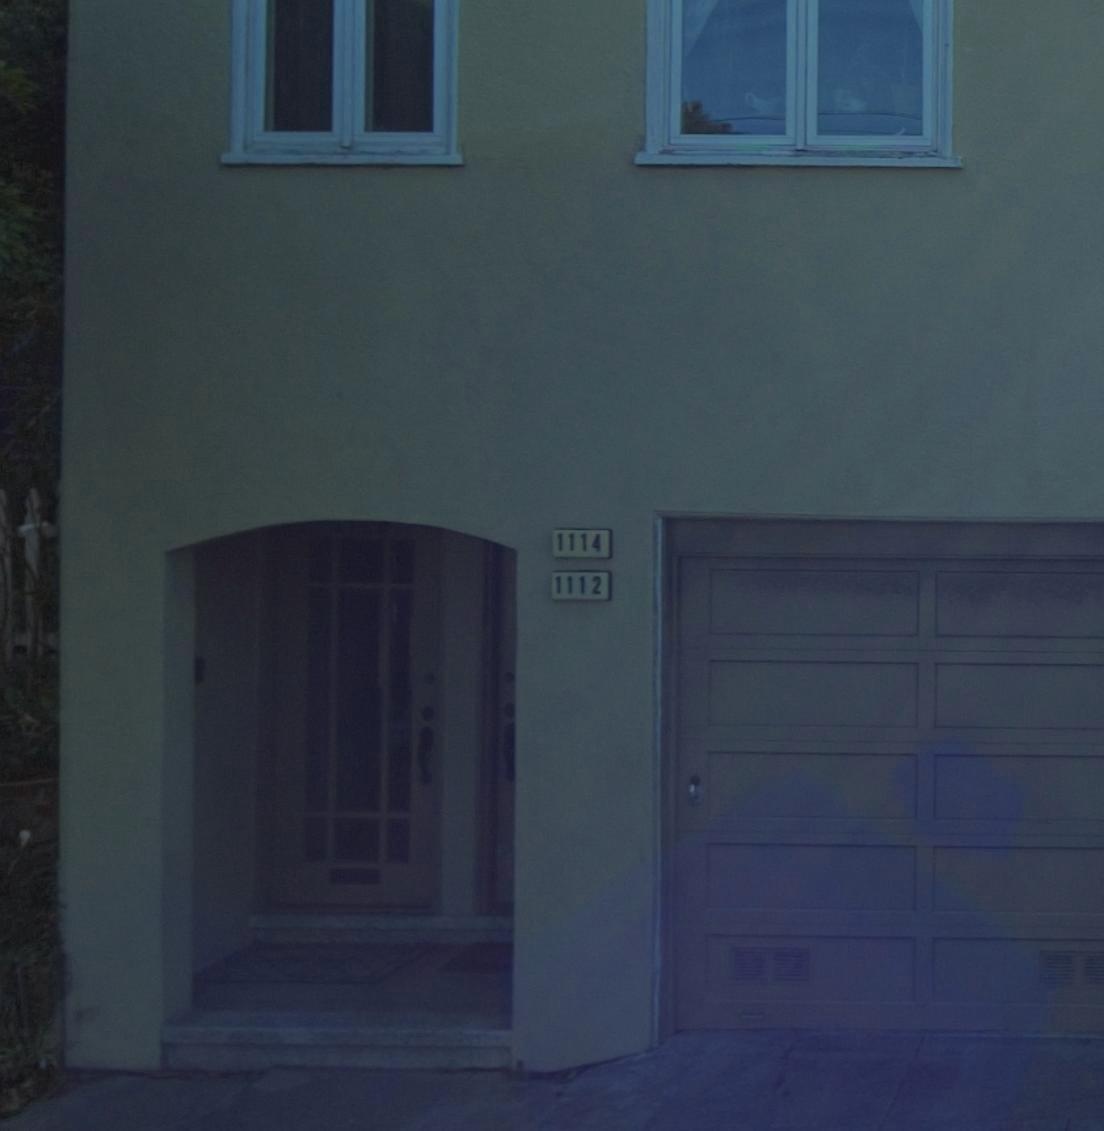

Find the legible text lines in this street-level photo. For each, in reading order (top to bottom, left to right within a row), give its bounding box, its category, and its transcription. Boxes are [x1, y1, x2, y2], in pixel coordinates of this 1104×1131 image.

[554, 531, 605, 556] StreetNumber: 1114
[552, 573, 604, 596] StreetNumber: 1112